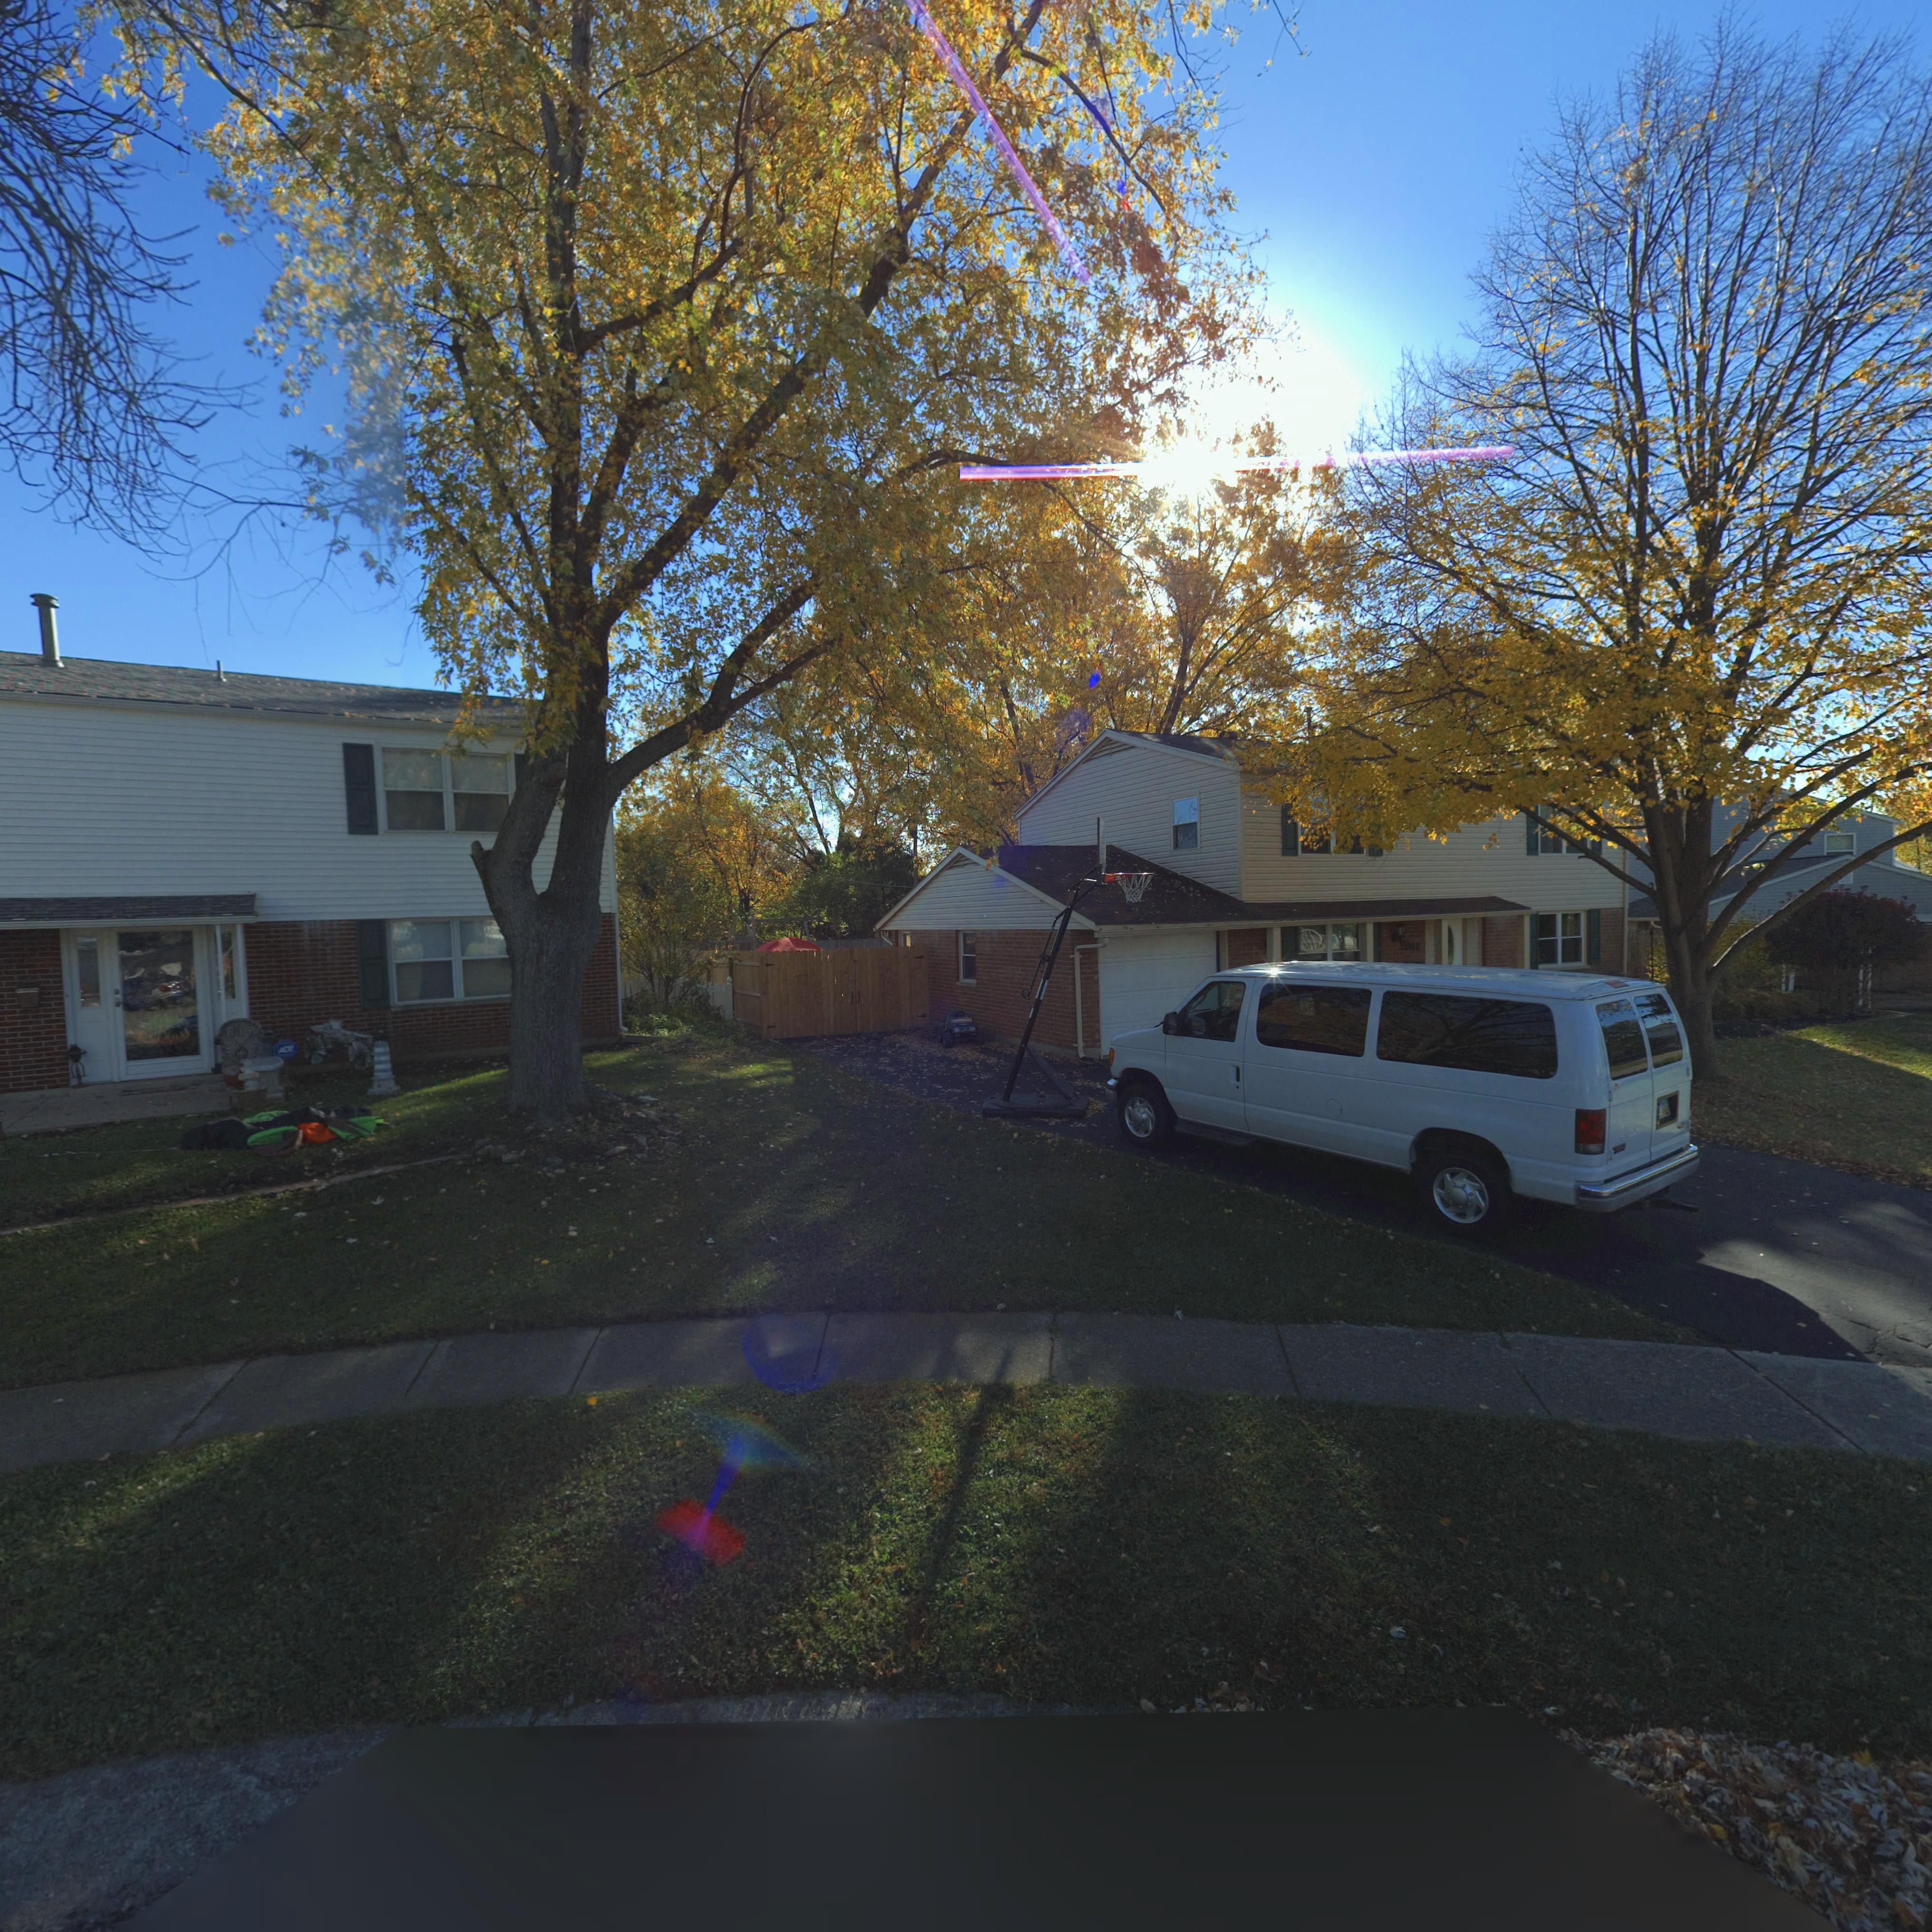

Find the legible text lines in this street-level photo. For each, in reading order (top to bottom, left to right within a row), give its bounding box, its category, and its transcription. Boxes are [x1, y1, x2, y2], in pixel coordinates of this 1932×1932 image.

[1399, 940, 1420, 952] StreetNumber: 5911